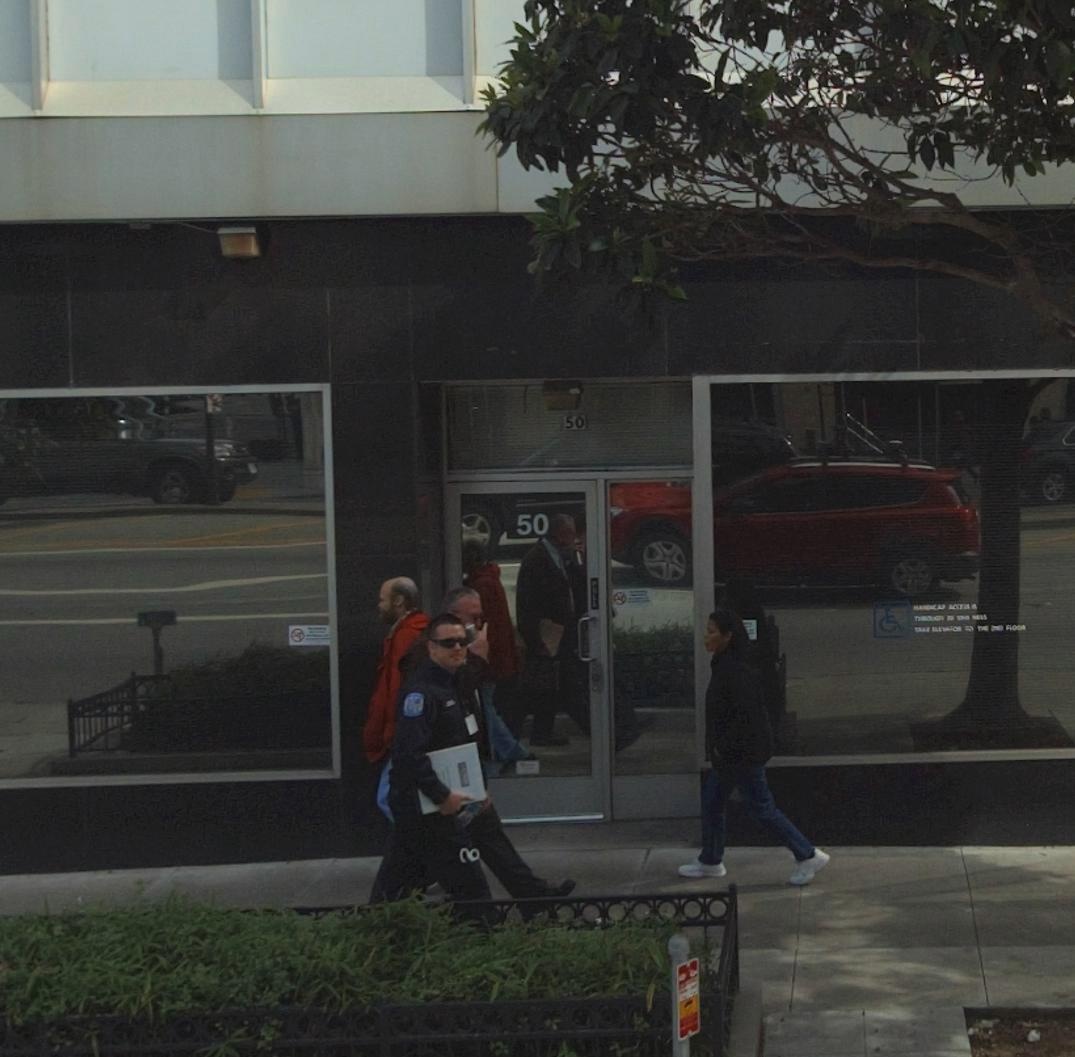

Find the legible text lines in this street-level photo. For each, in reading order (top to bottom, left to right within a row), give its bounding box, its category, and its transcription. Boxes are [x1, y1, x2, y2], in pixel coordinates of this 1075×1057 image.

[565, 415, 584, 429] StreetNumber: 50
[516, 513, 550, 536] StreetNumber: 50
[592, 580, 598, 608] None: PULL
[913, 603, 946, 611] None: HANDICAP
[914, 615, 945, 622] None: THROUGH
[1006, 624, 1026, 631] None: FLOOR